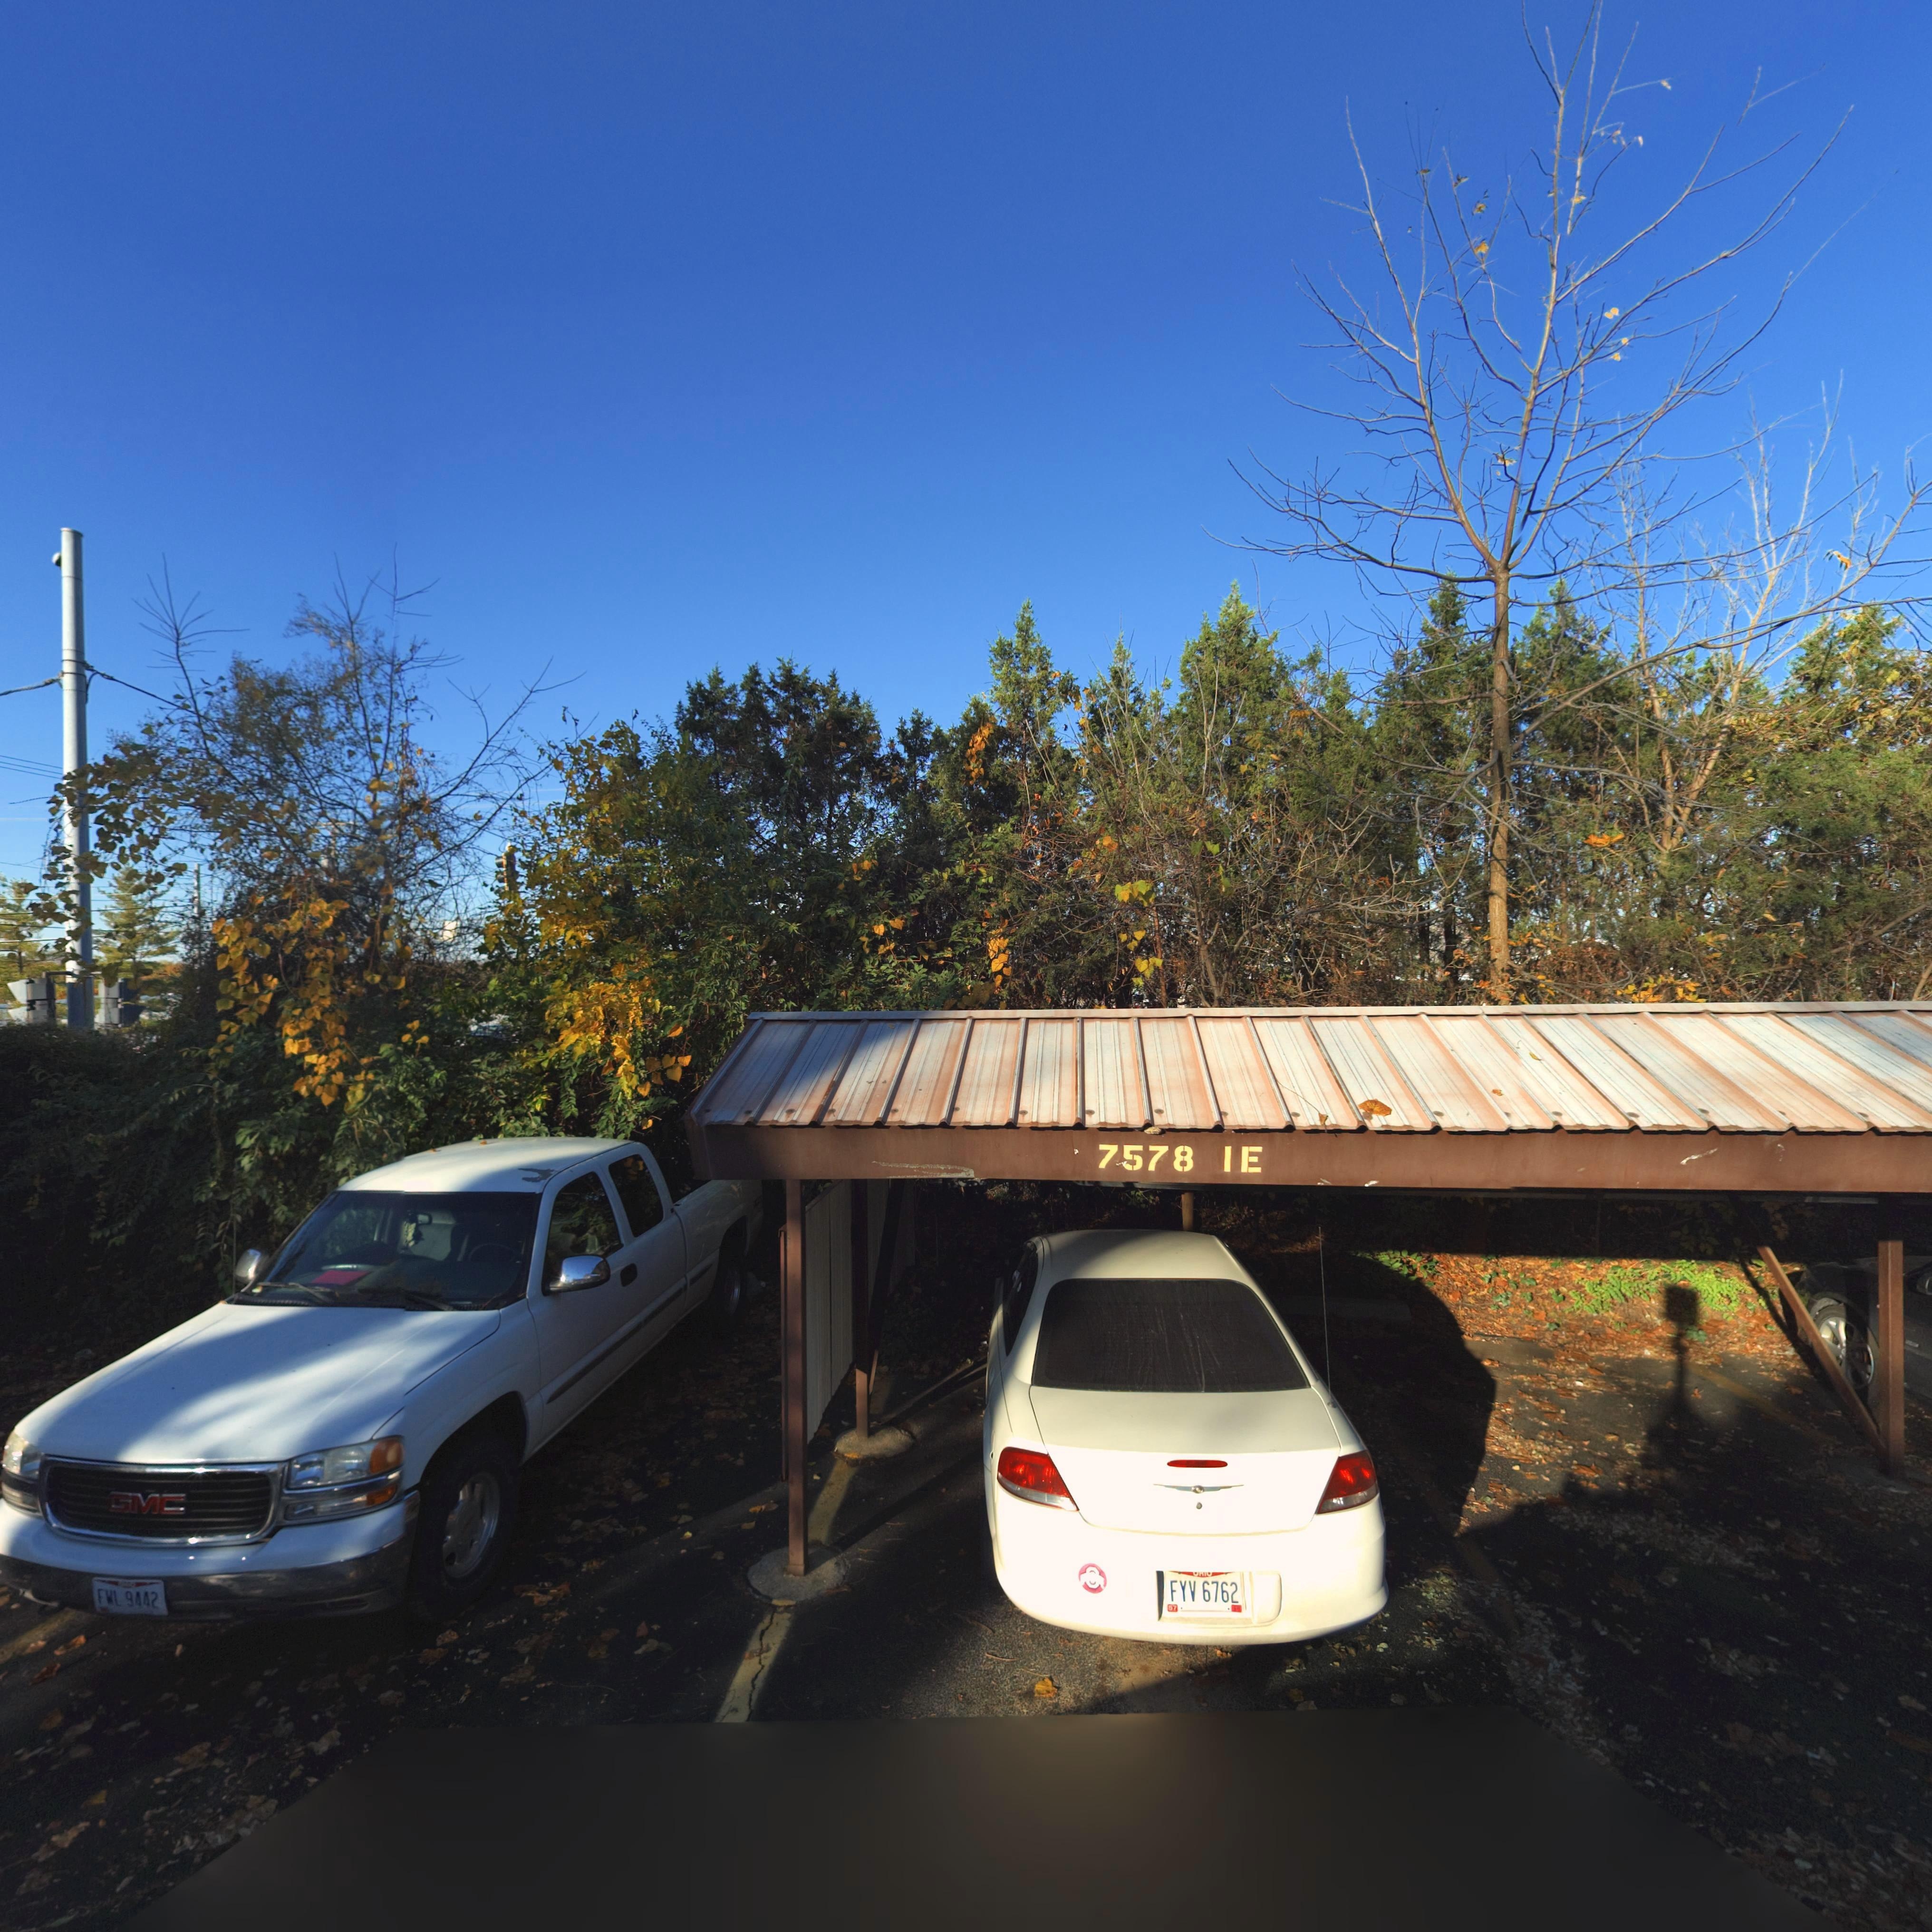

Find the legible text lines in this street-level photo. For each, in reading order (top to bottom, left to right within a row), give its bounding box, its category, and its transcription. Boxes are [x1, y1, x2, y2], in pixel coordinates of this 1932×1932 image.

[1096, 1143, 1194, 1173] StreetNumber: 7578